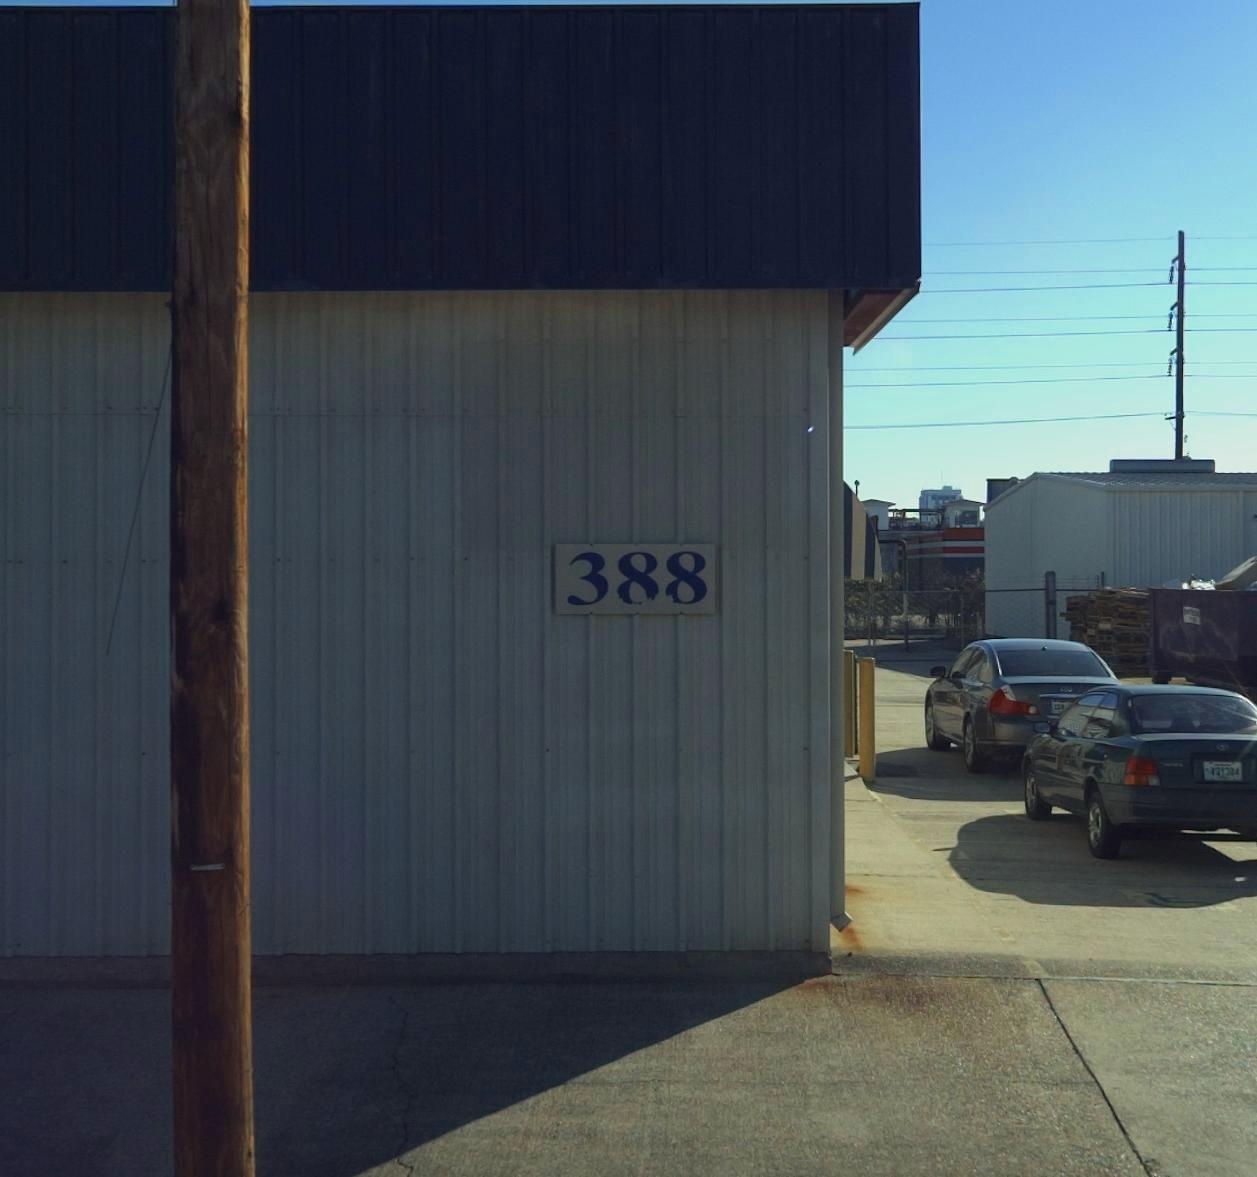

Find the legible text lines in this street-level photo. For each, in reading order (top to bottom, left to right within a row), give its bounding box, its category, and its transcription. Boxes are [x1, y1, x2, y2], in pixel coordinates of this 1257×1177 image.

[565, 549, 710, 608] StreetNumber: 388